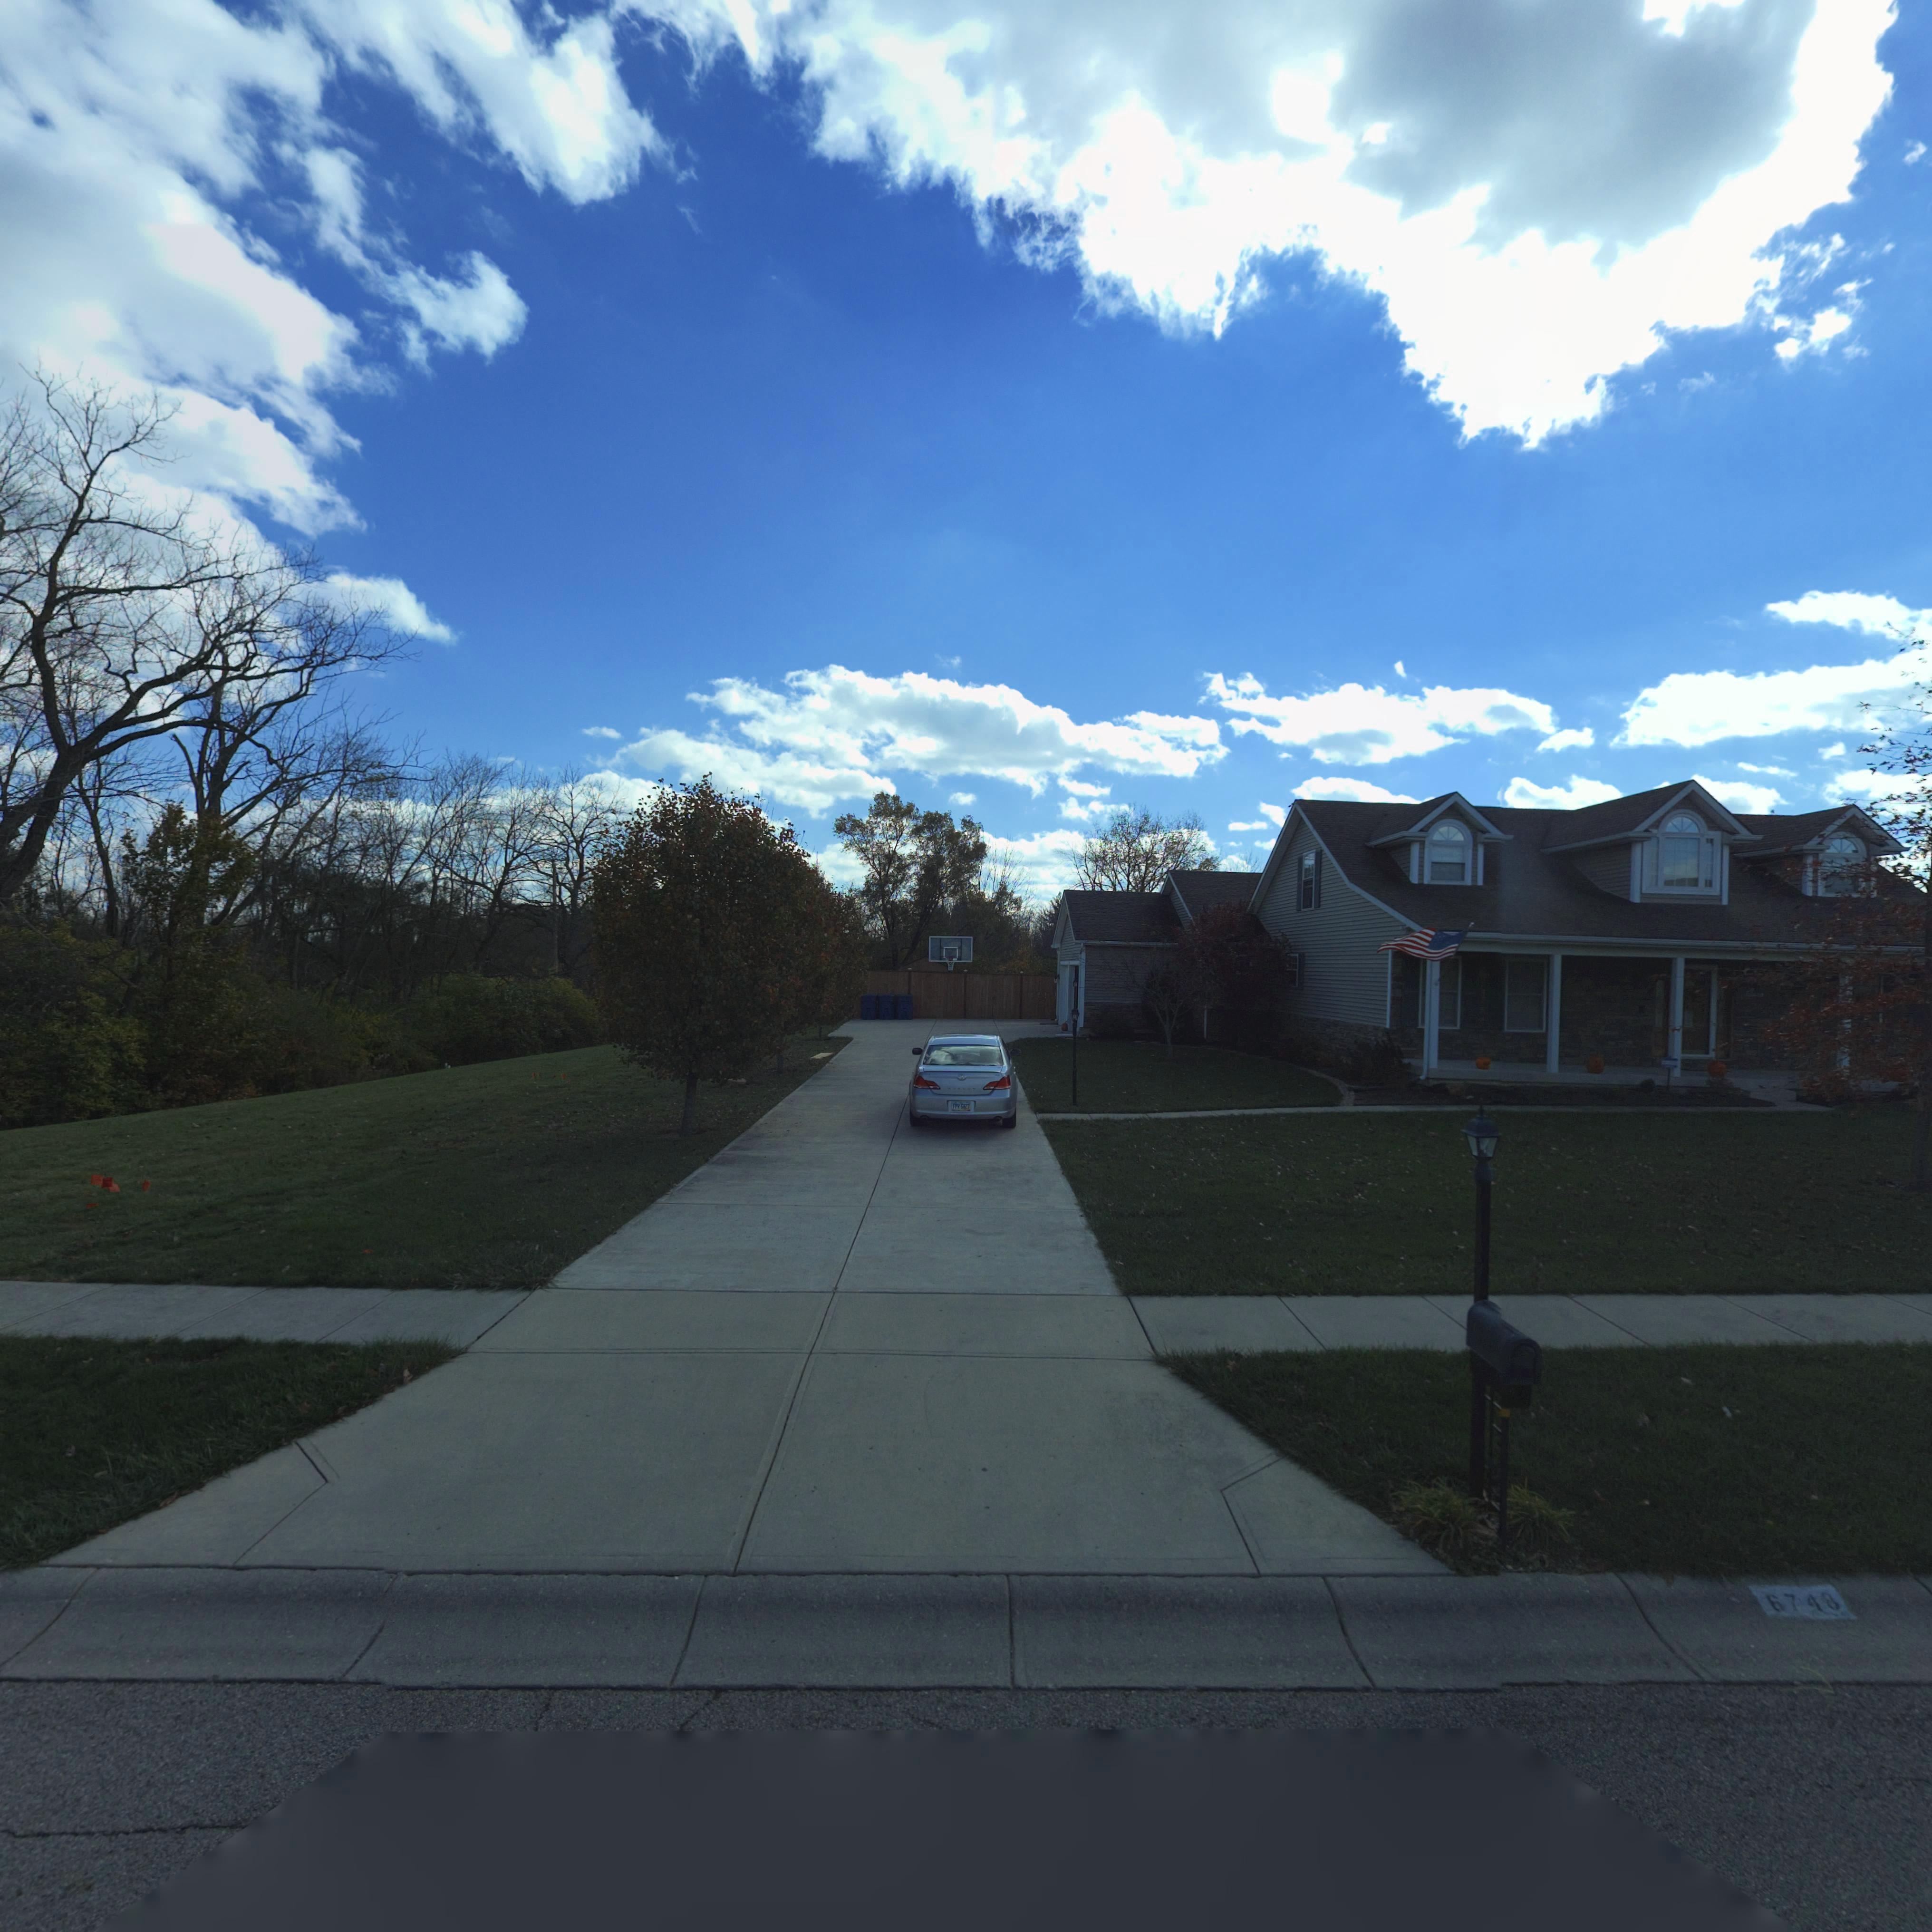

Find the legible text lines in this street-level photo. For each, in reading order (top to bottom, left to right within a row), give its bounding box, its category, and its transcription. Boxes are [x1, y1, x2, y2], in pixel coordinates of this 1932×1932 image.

[1763, 1590, 1845, 1613] StreetNumber: 6748